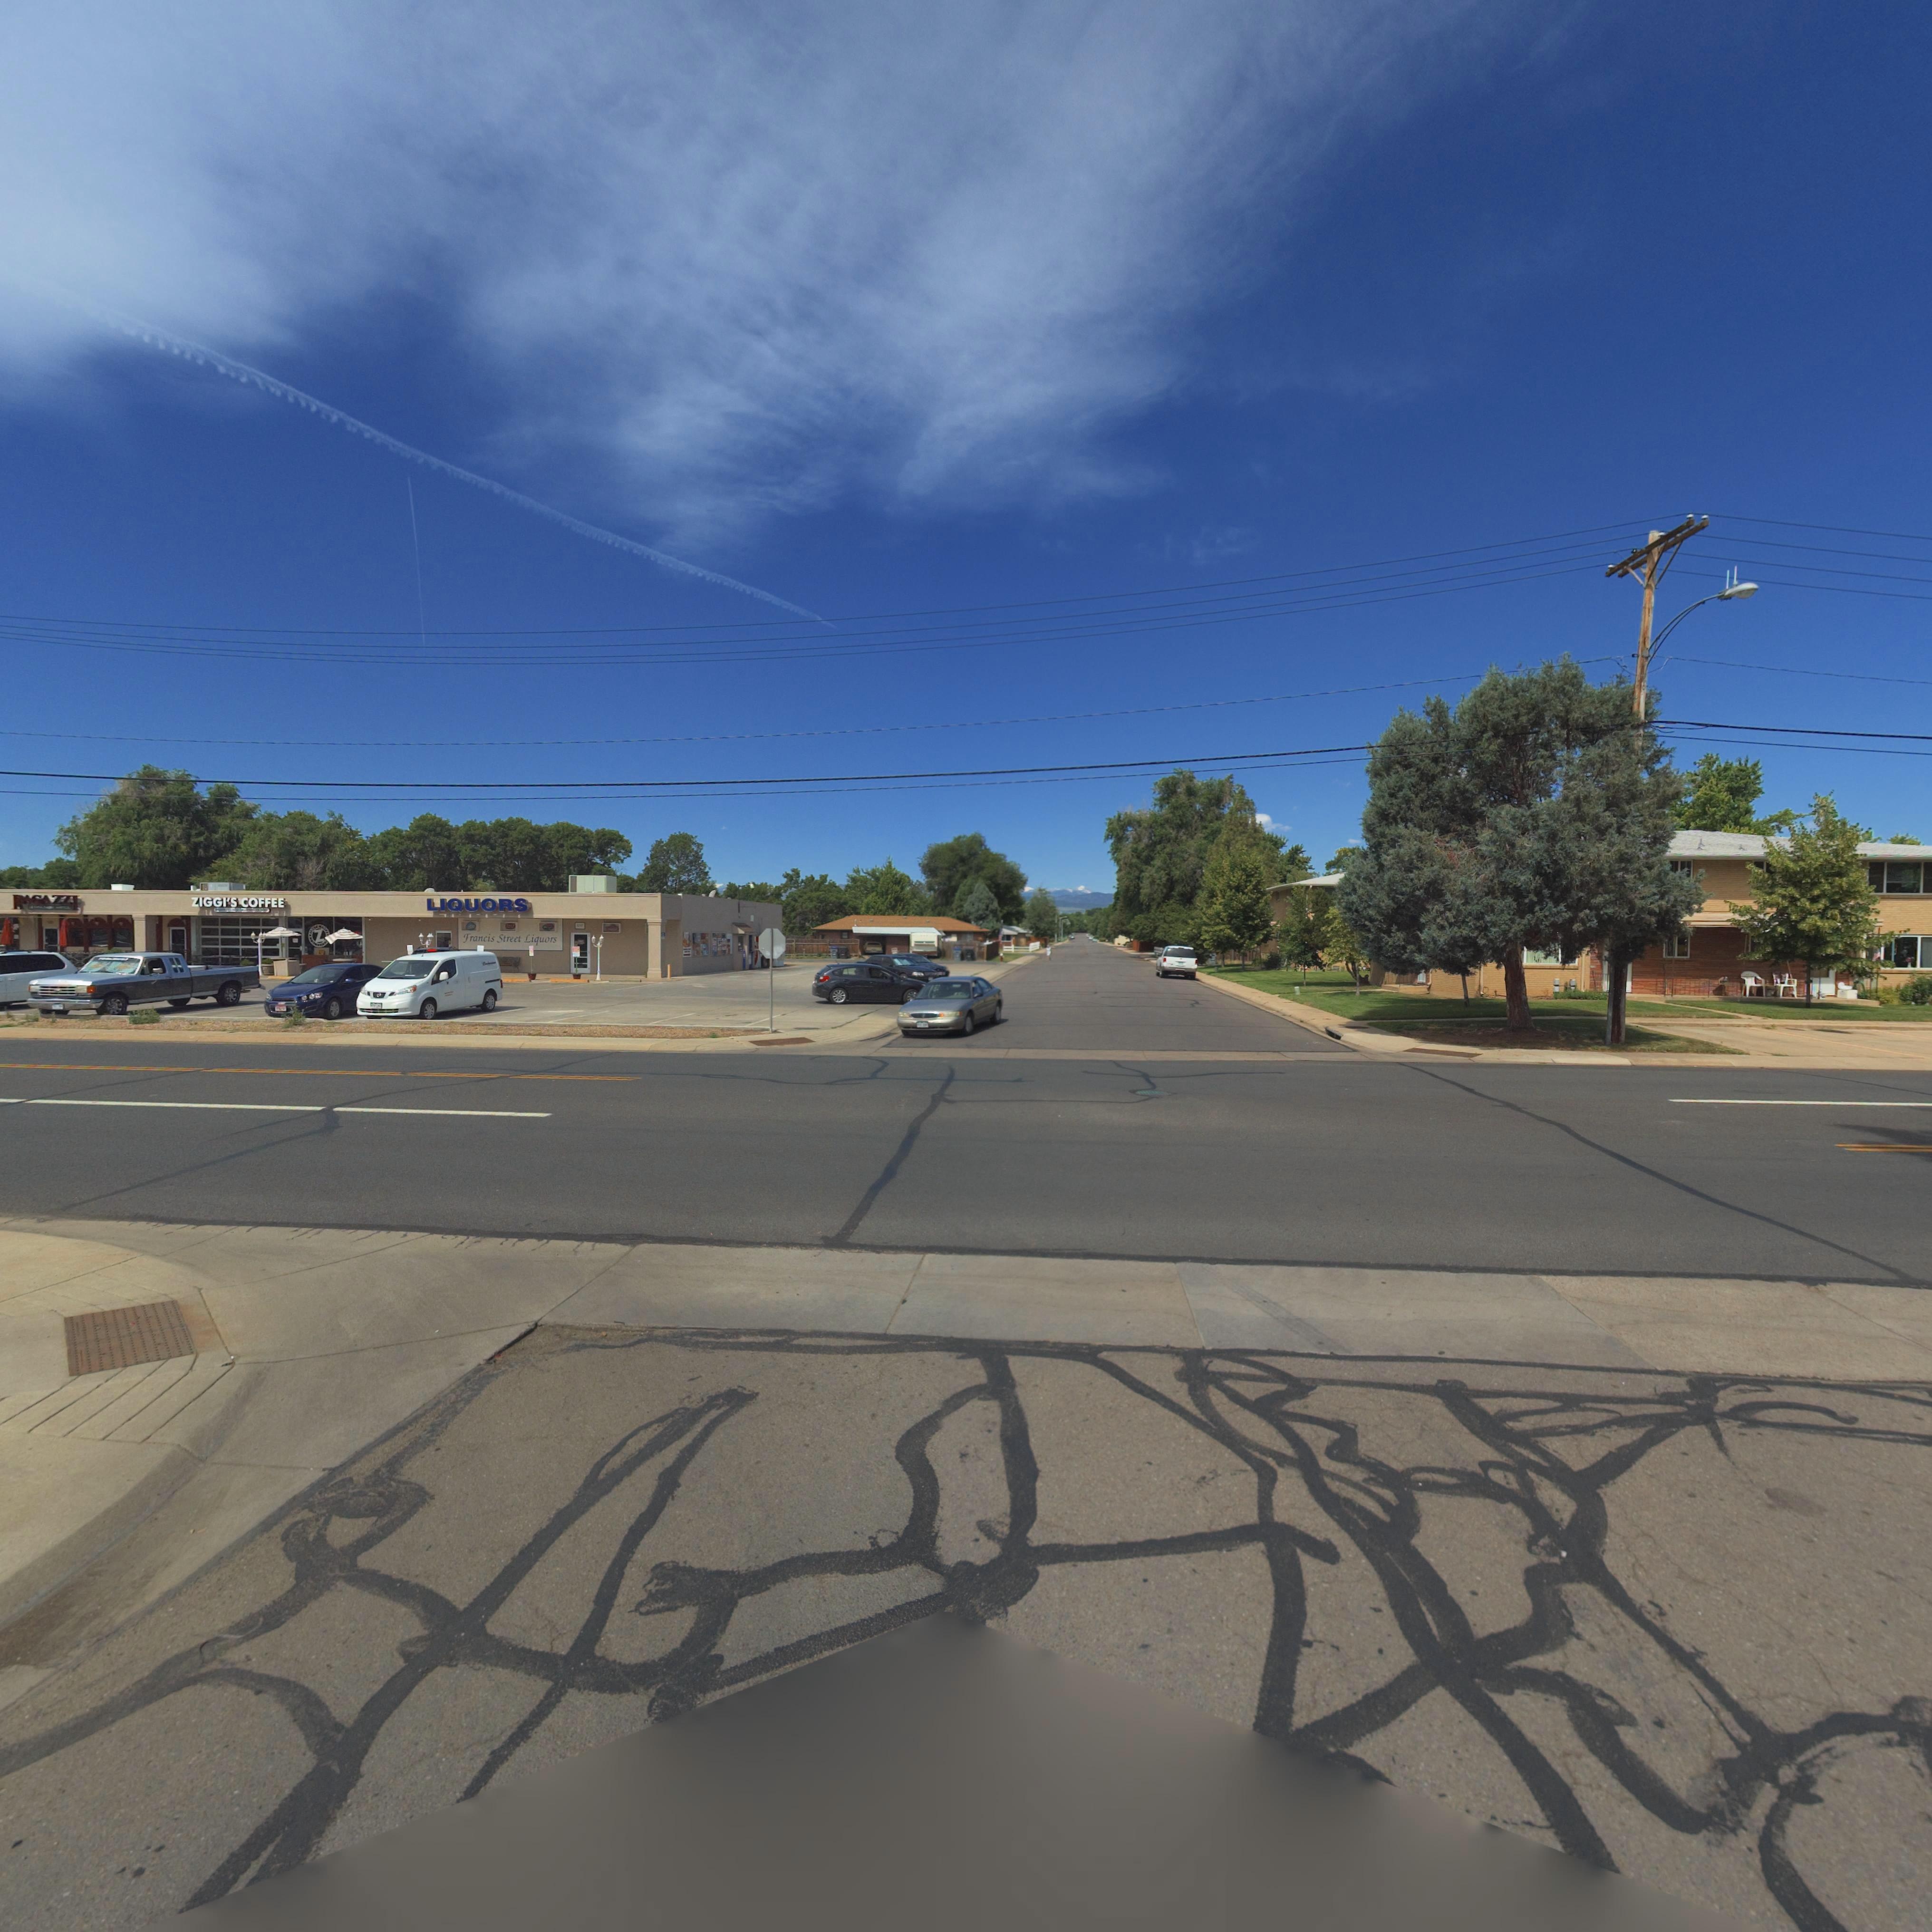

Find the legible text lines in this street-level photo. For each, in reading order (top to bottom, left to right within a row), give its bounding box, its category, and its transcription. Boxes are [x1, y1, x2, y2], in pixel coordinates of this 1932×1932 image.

[12, 894, 80, 910] BusinessName: *A*AZZI
[191, 897, 286, 908] BusinessName: ZIGI'S COFFEE
[462, 933, 558, 947] BusinessName: Francis Street Liquors